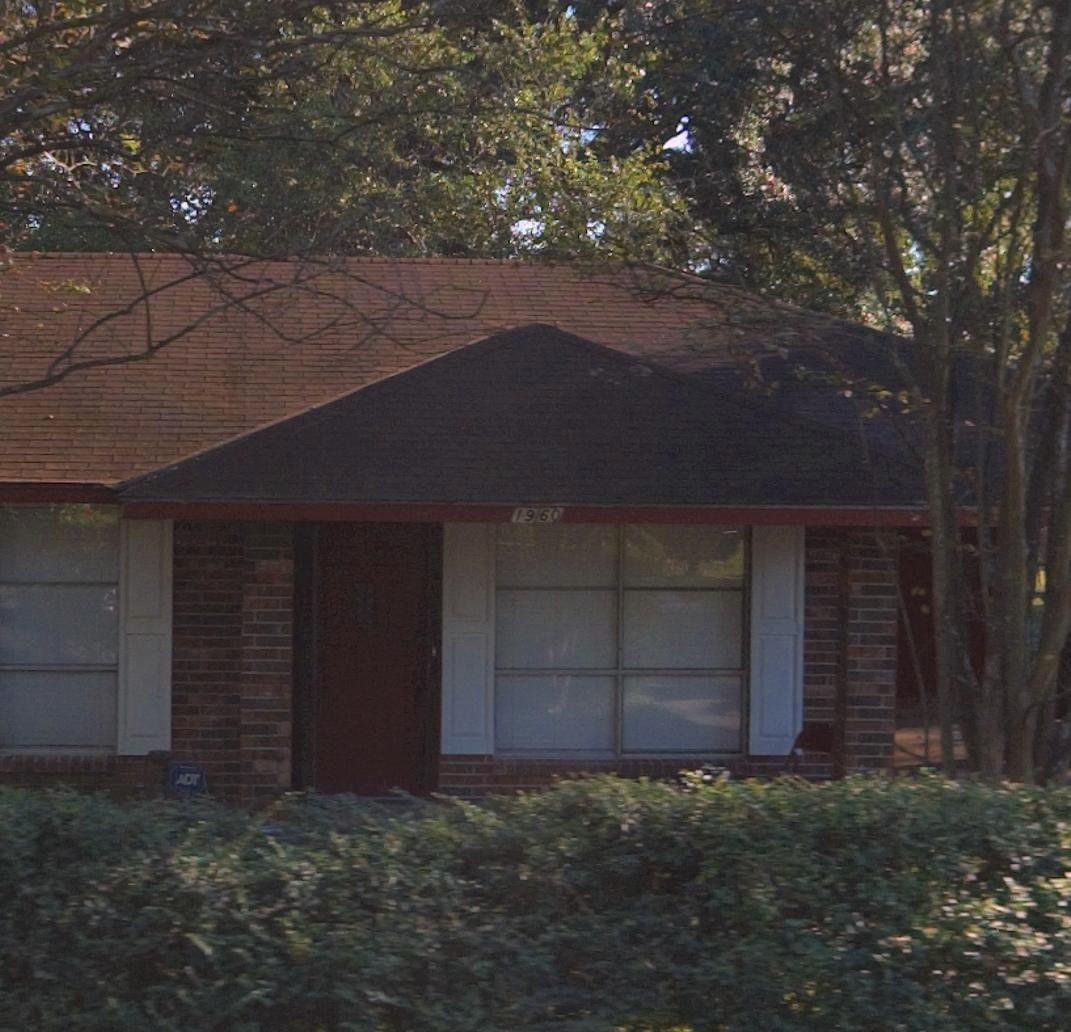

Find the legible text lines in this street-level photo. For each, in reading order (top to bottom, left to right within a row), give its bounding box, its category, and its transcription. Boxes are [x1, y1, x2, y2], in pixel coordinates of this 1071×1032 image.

[510, 507, 564, 523] StreetNumber: 1960
[173, 772, 201, 788] None: ADT